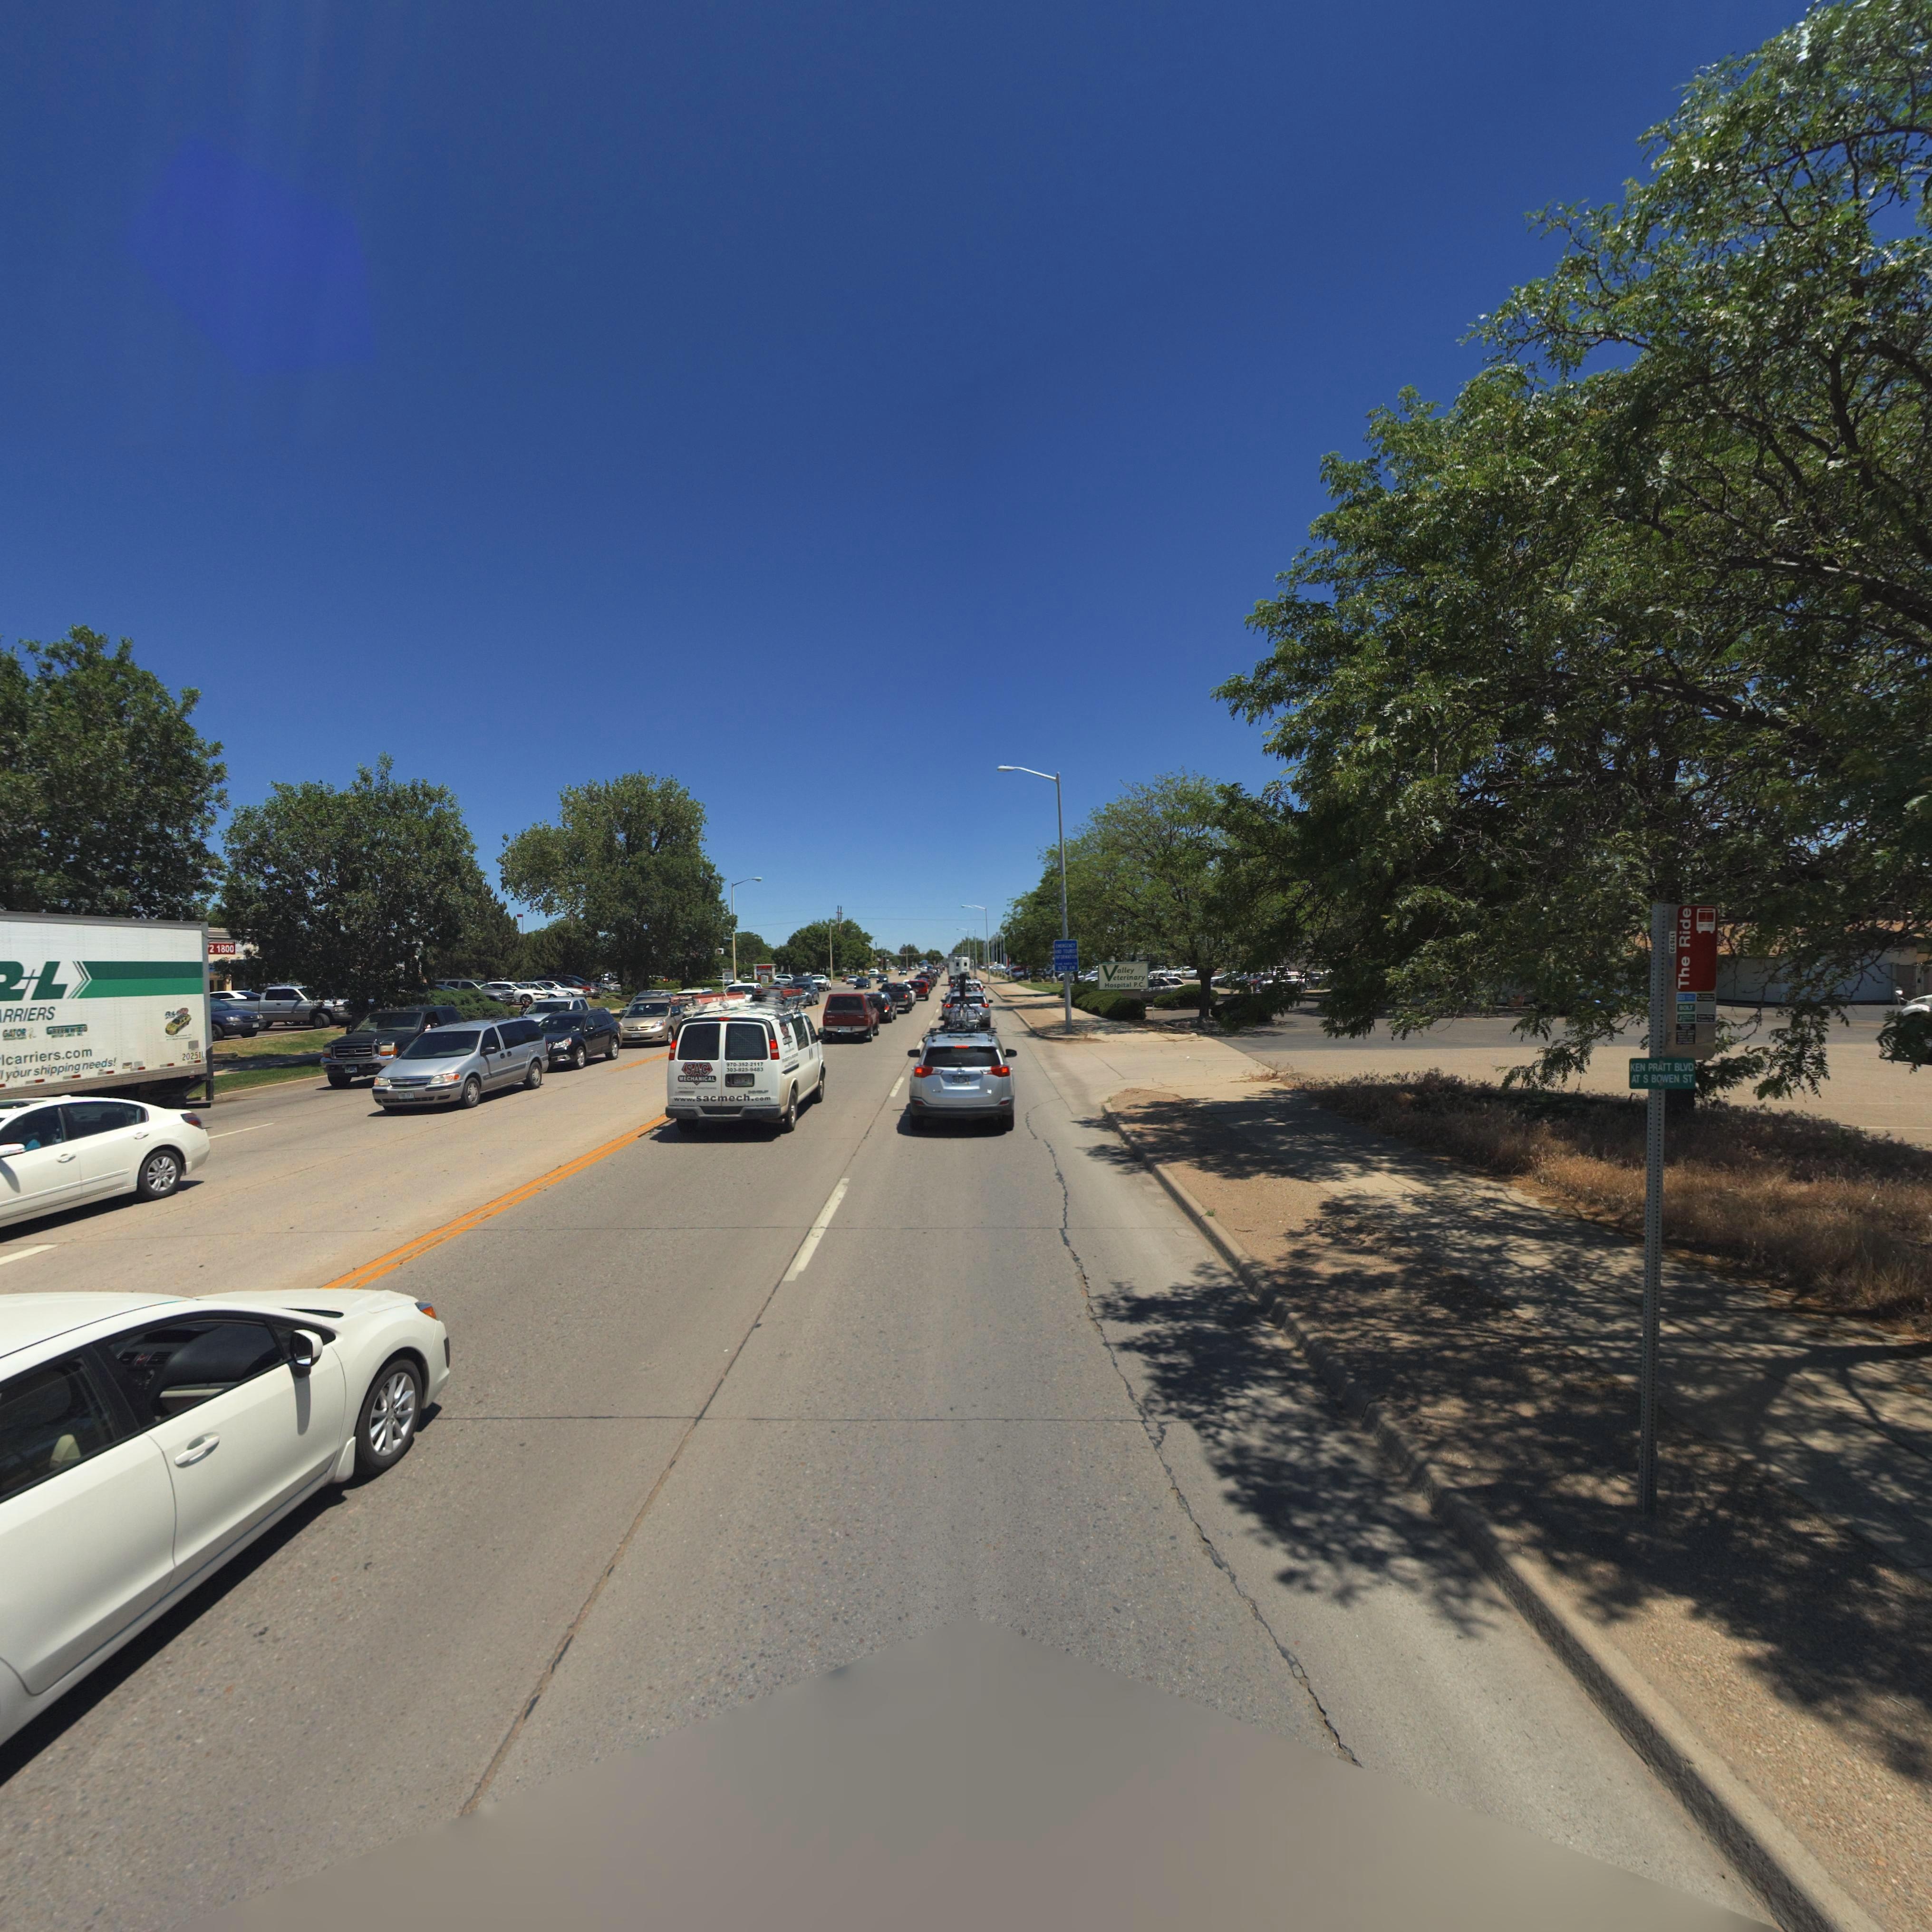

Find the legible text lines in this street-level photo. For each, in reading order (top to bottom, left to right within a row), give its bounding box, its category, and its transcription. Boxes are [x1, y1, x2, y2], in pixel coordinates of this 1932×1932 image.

[1101, 964, 1120, 982] BusinessName: V
[1117, 966, 1135, 975] BusinessName: alley
[1112, 974, 1146, 982] BusinessName: eterinary
[1104, 981, 1143, 989] BusinessName: Hospital P.C
[1630, 1062, 1694, 1072] StreetName: KEN PRATT BLVD
[1642, 1073, 1694, 1083] StreetName: S BOWEN ST